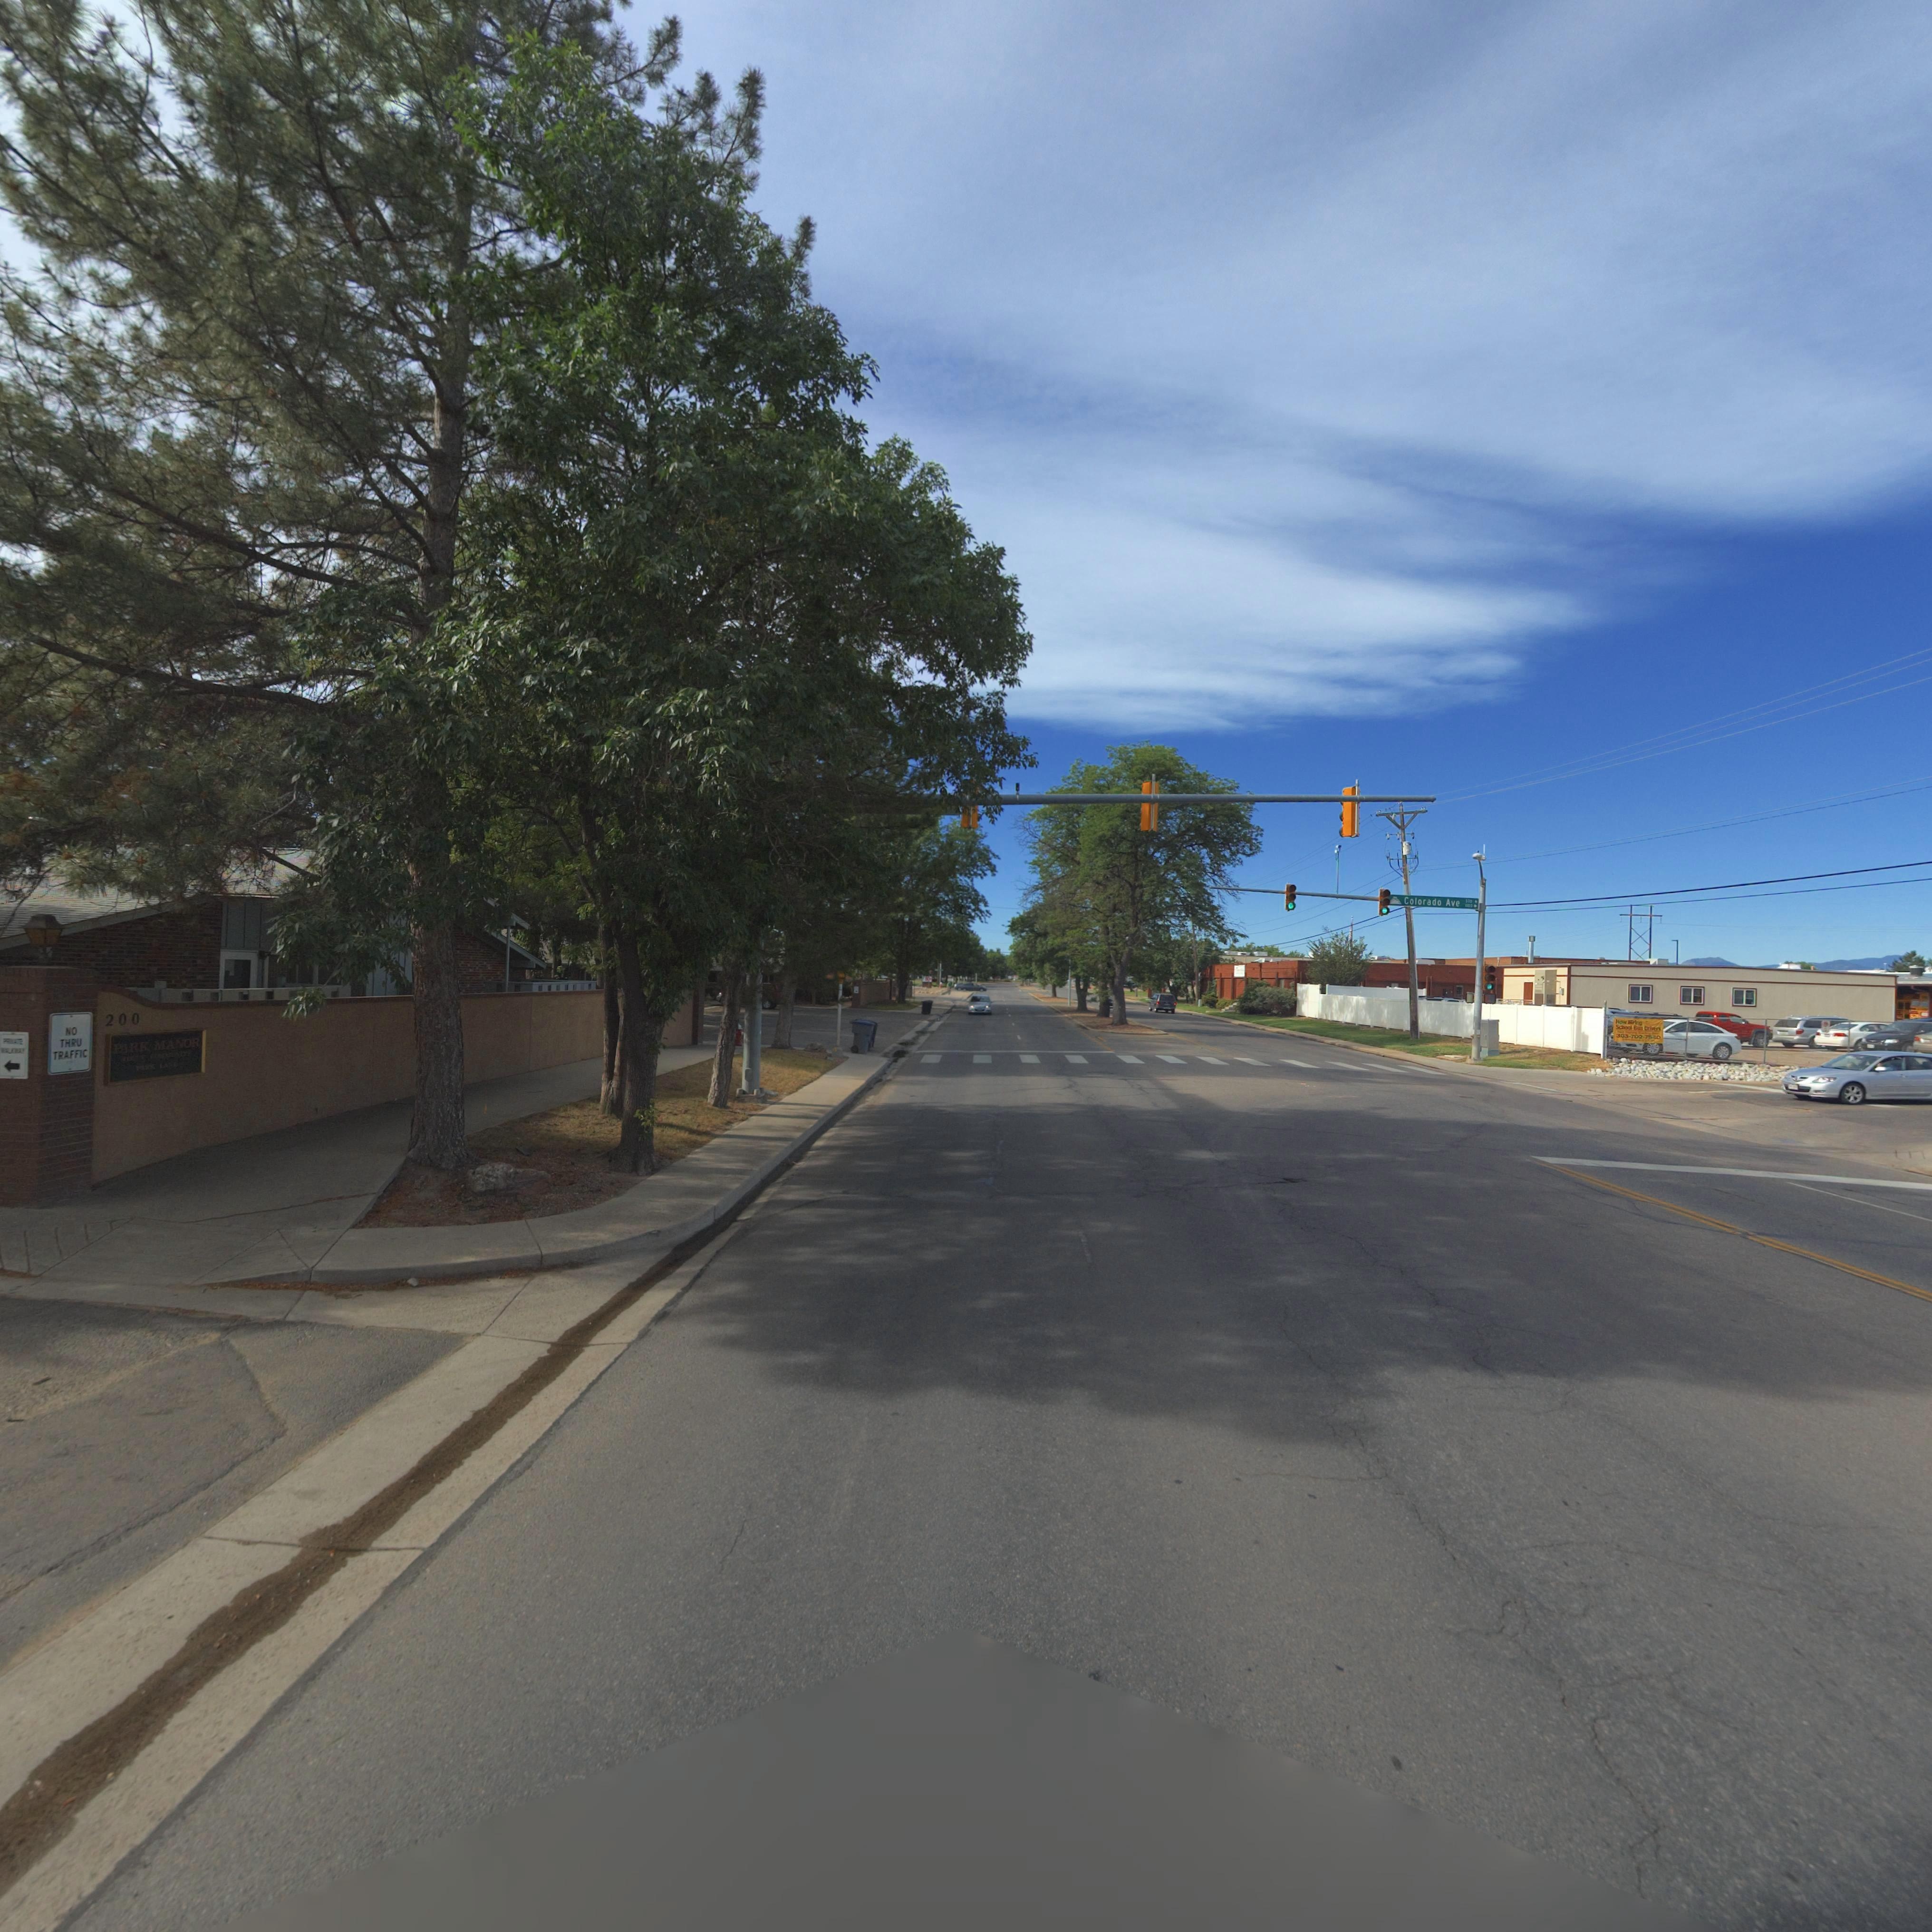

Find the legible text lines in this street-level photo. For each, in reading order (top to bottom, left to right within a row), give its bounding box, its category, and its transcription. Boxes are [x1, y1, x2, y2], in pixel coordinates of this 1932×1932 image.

[1403, 896, 1460, 907] StreetName: Colorado Ave
[1465, 903, 1477, 908] StreetNumberRange: 000->
[104, 1012, 140, 1027] StreetNumber: 200
[135, 1061, 178, 1071] StreetName: **RK L***